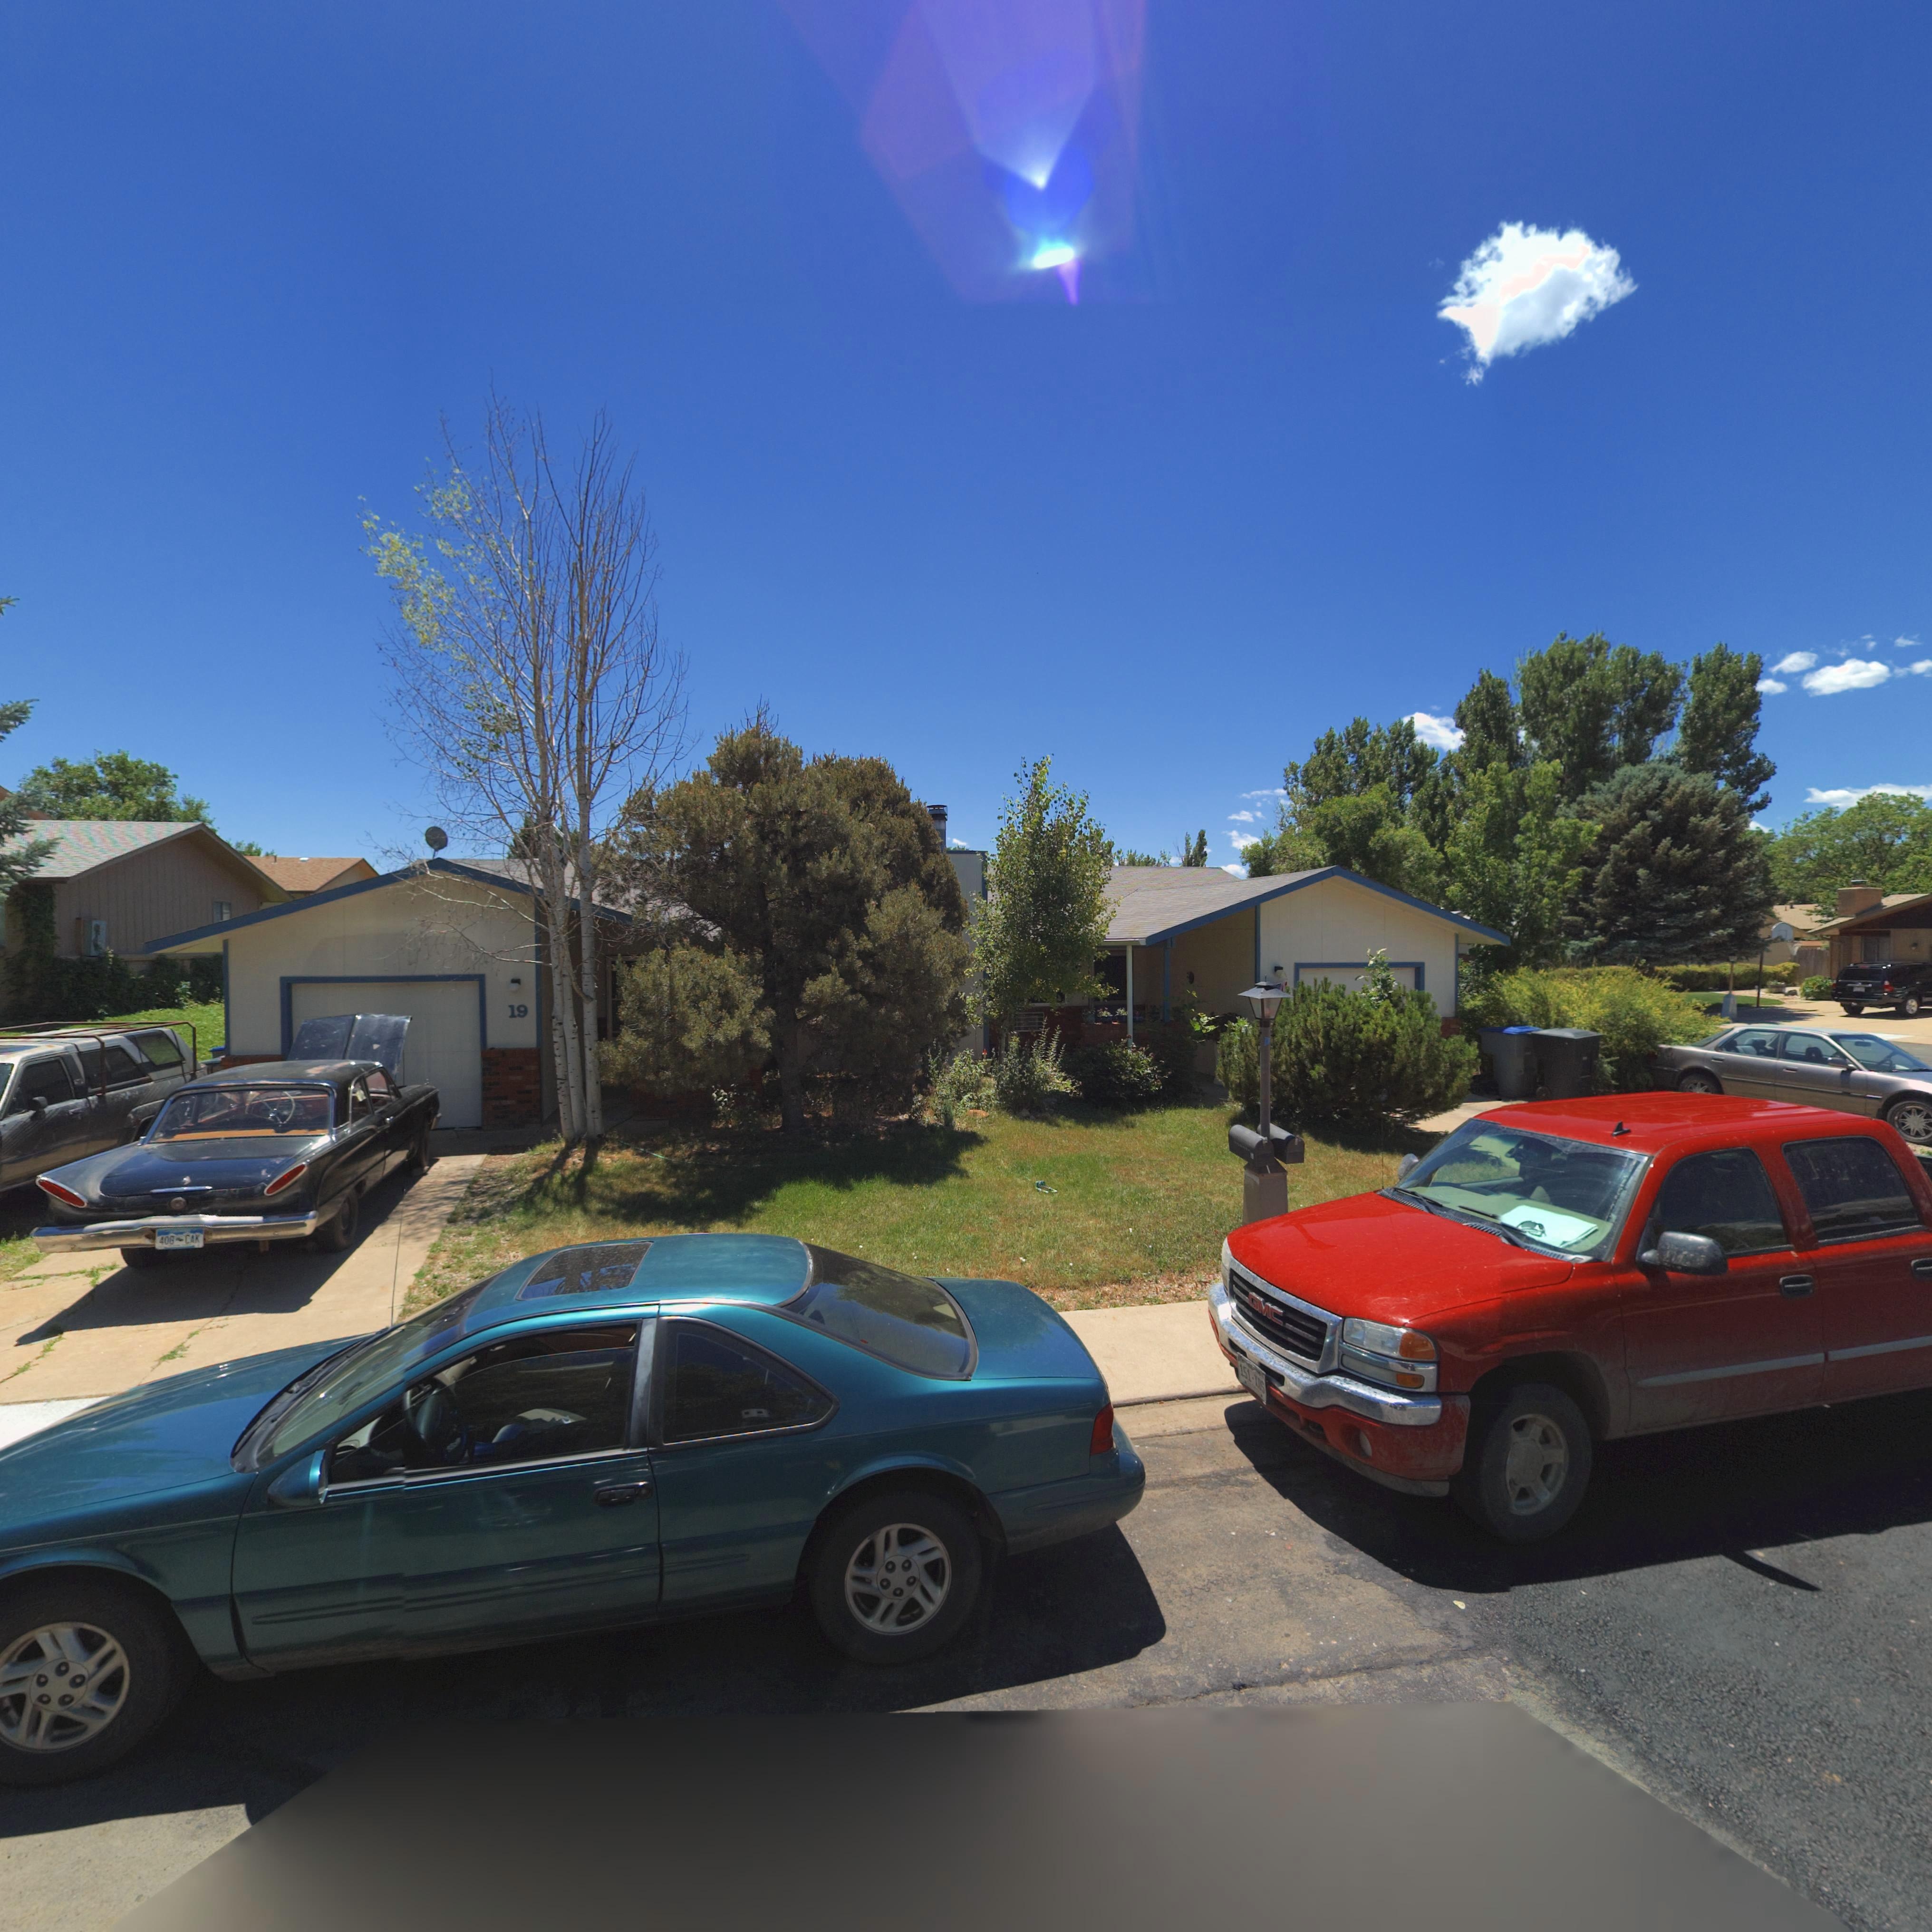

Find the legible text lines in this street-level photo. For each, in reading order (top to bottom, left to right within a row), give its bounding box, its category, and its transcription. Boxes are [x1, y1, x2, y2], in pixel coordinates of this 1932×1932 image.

[507, 1003, 529, 1018] StreetNumber: 19